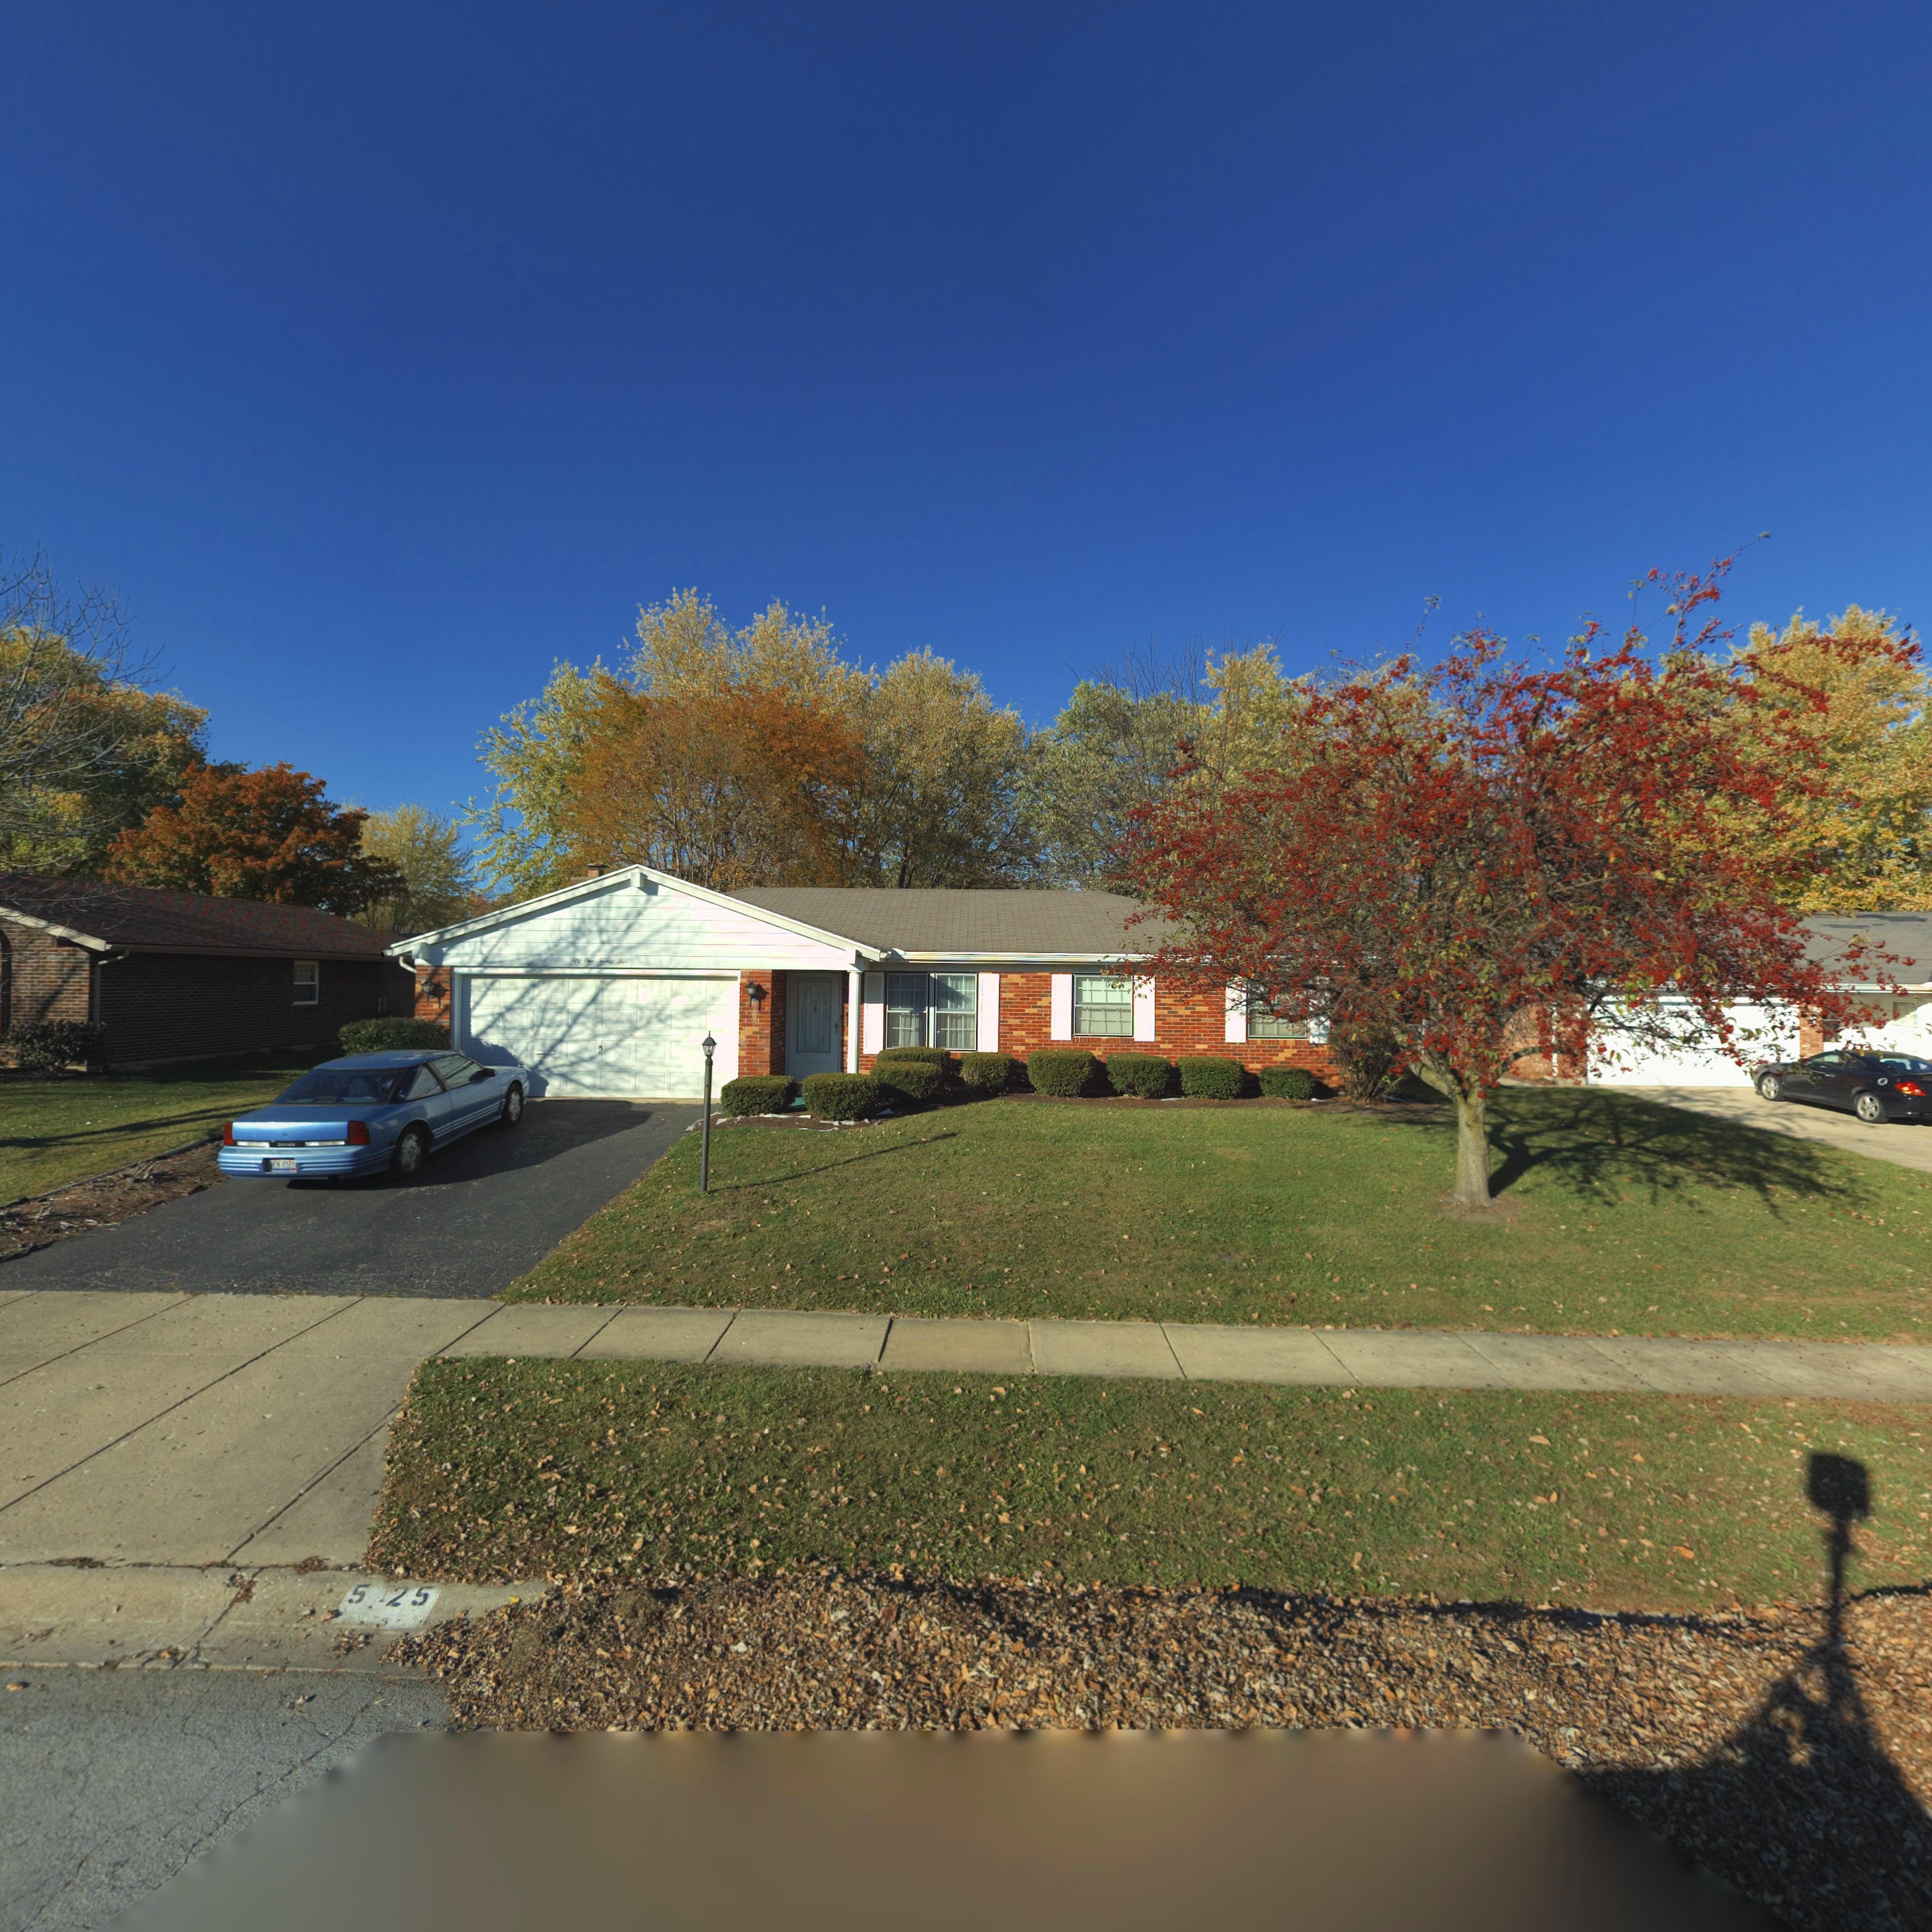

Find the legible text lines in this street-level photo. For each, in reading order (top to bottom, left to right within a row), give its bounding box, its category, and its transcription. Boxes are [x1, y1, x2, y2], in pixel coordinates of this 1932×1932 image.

[570, 957, 628, 965] StreetNumber: Fifty One Twenty Five
[345, 1583, 437, 1607] StreetNumber: 5*25